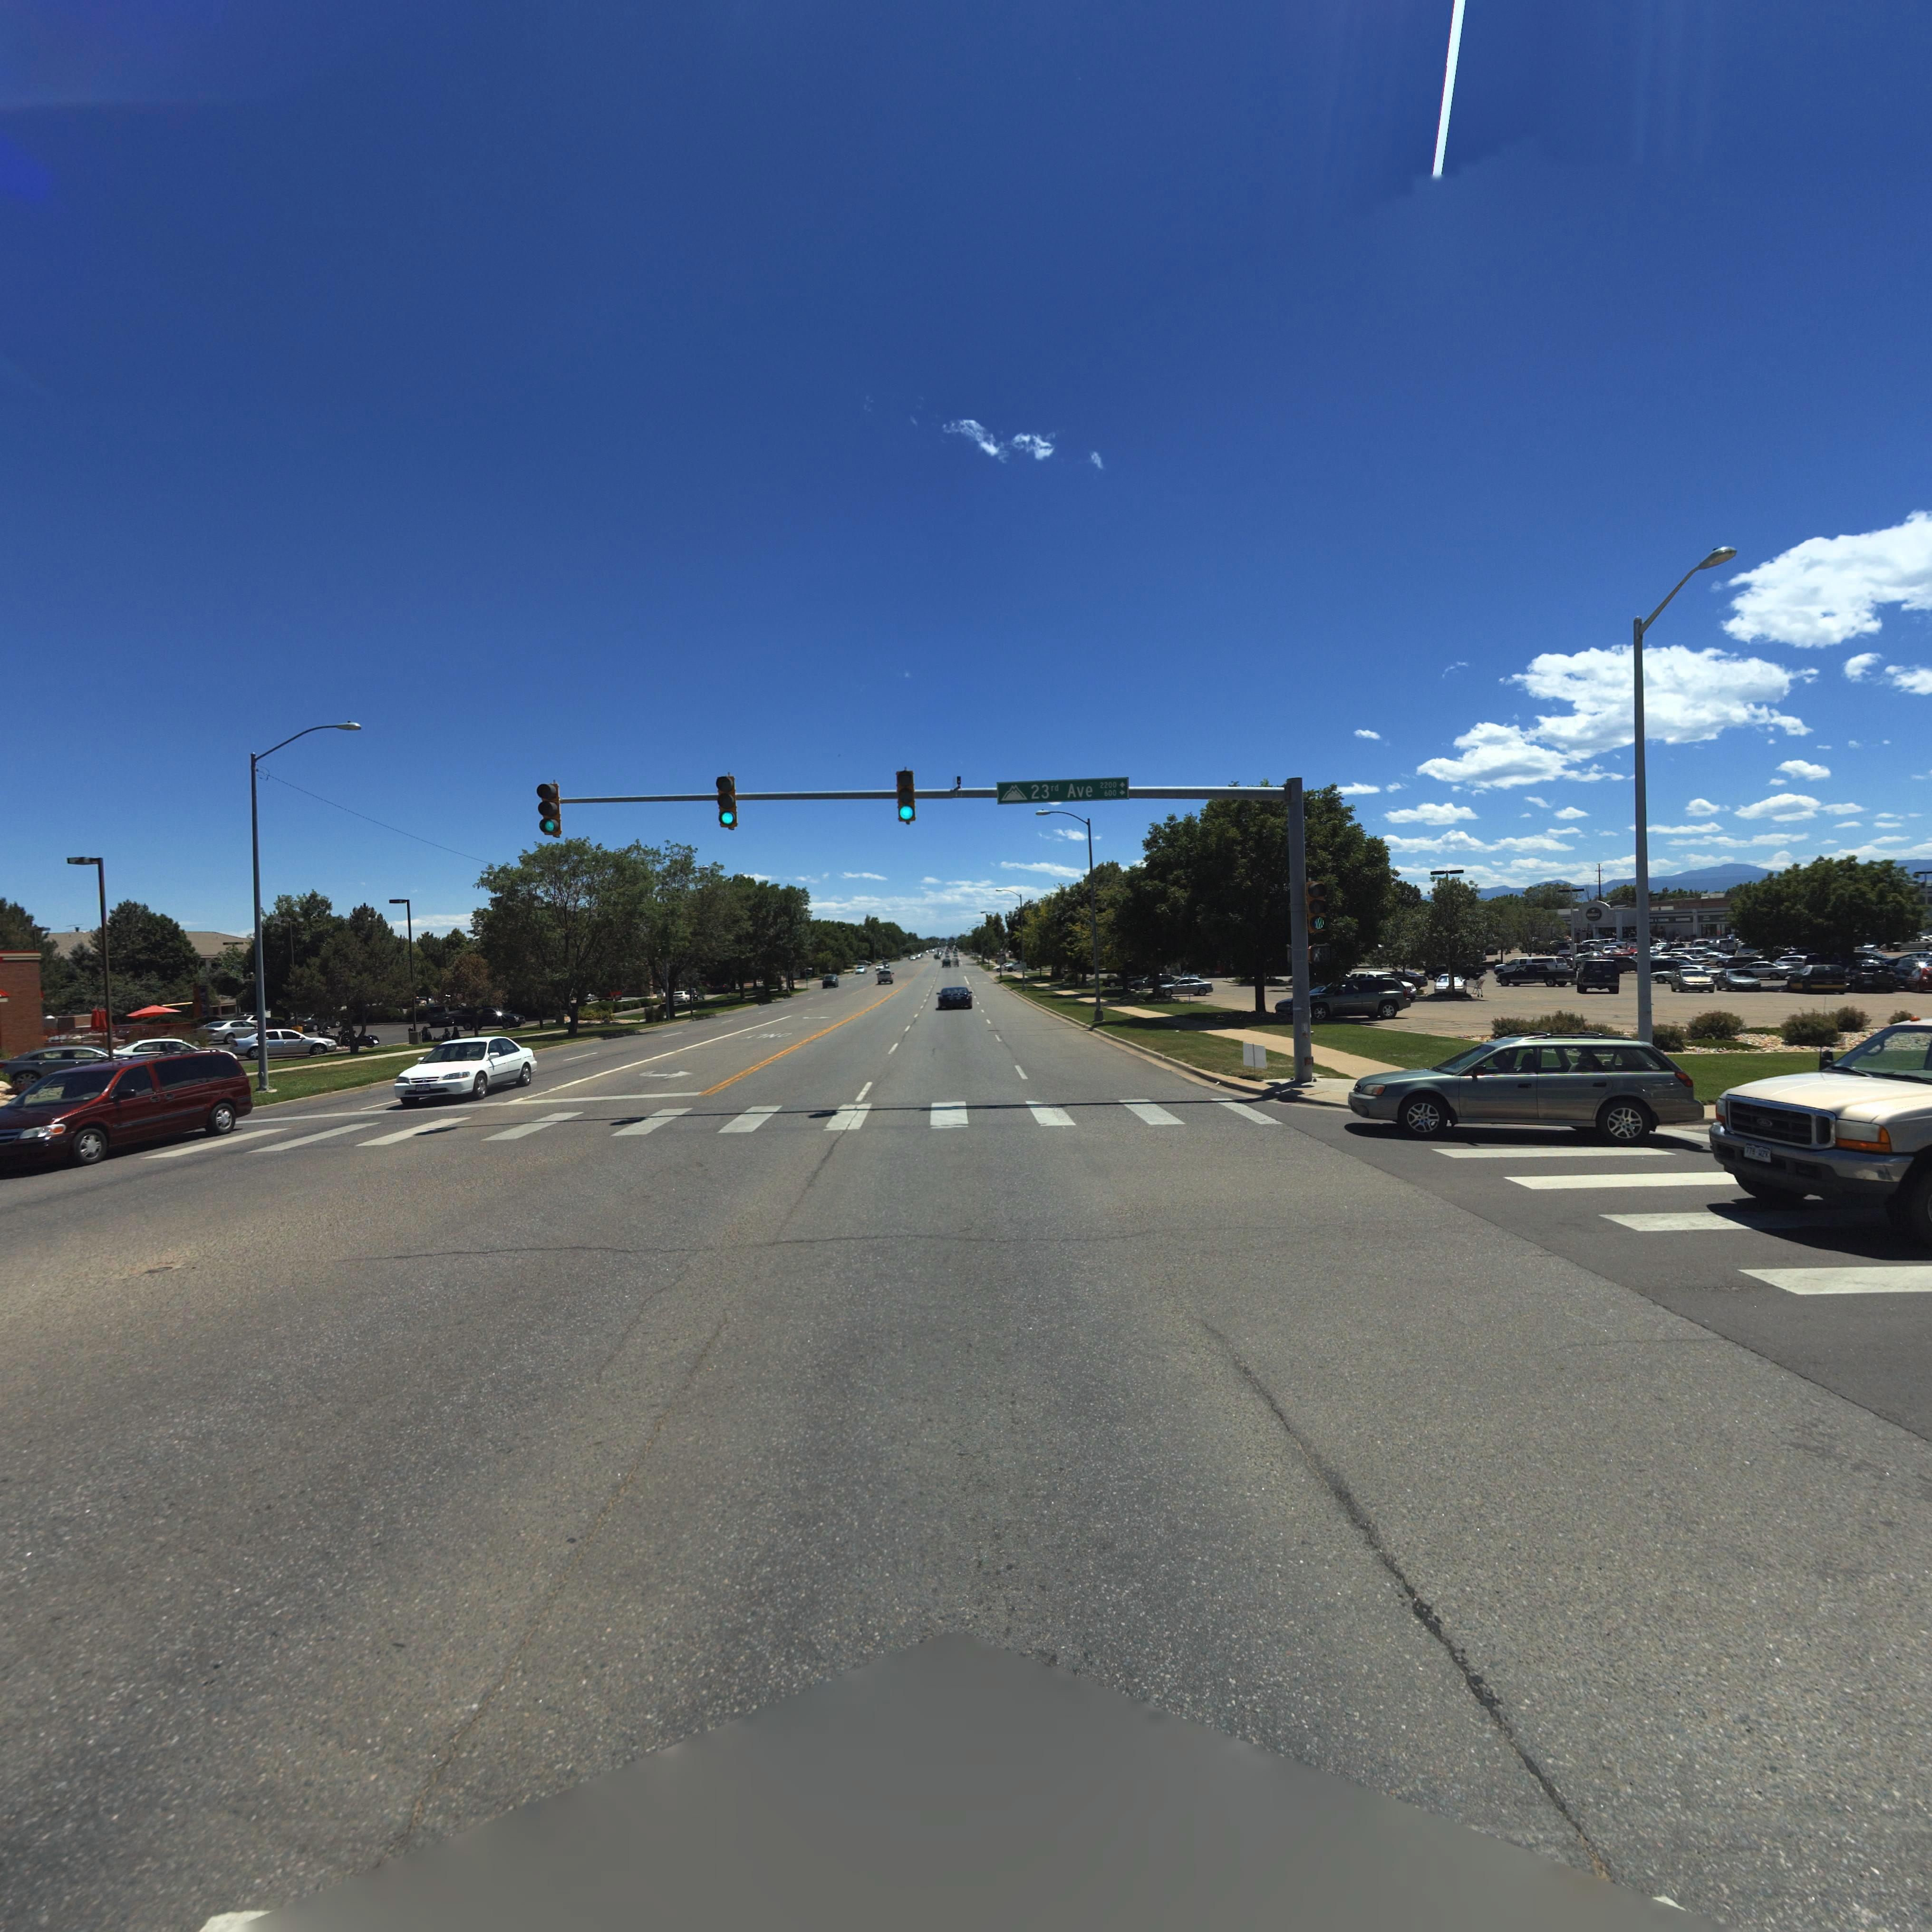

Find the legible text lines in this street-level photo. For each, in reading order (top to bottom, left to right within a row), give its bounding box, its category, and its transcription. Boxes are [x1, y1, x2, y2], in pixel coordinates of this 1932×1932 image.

[1099, 781, 1117, 788] StreetNumberRange: 2200
[1030, 782, 1093, 799] StreetName: 23rd Ave
[1104, 789, 1126, 796] StreetNumberRange: 600->